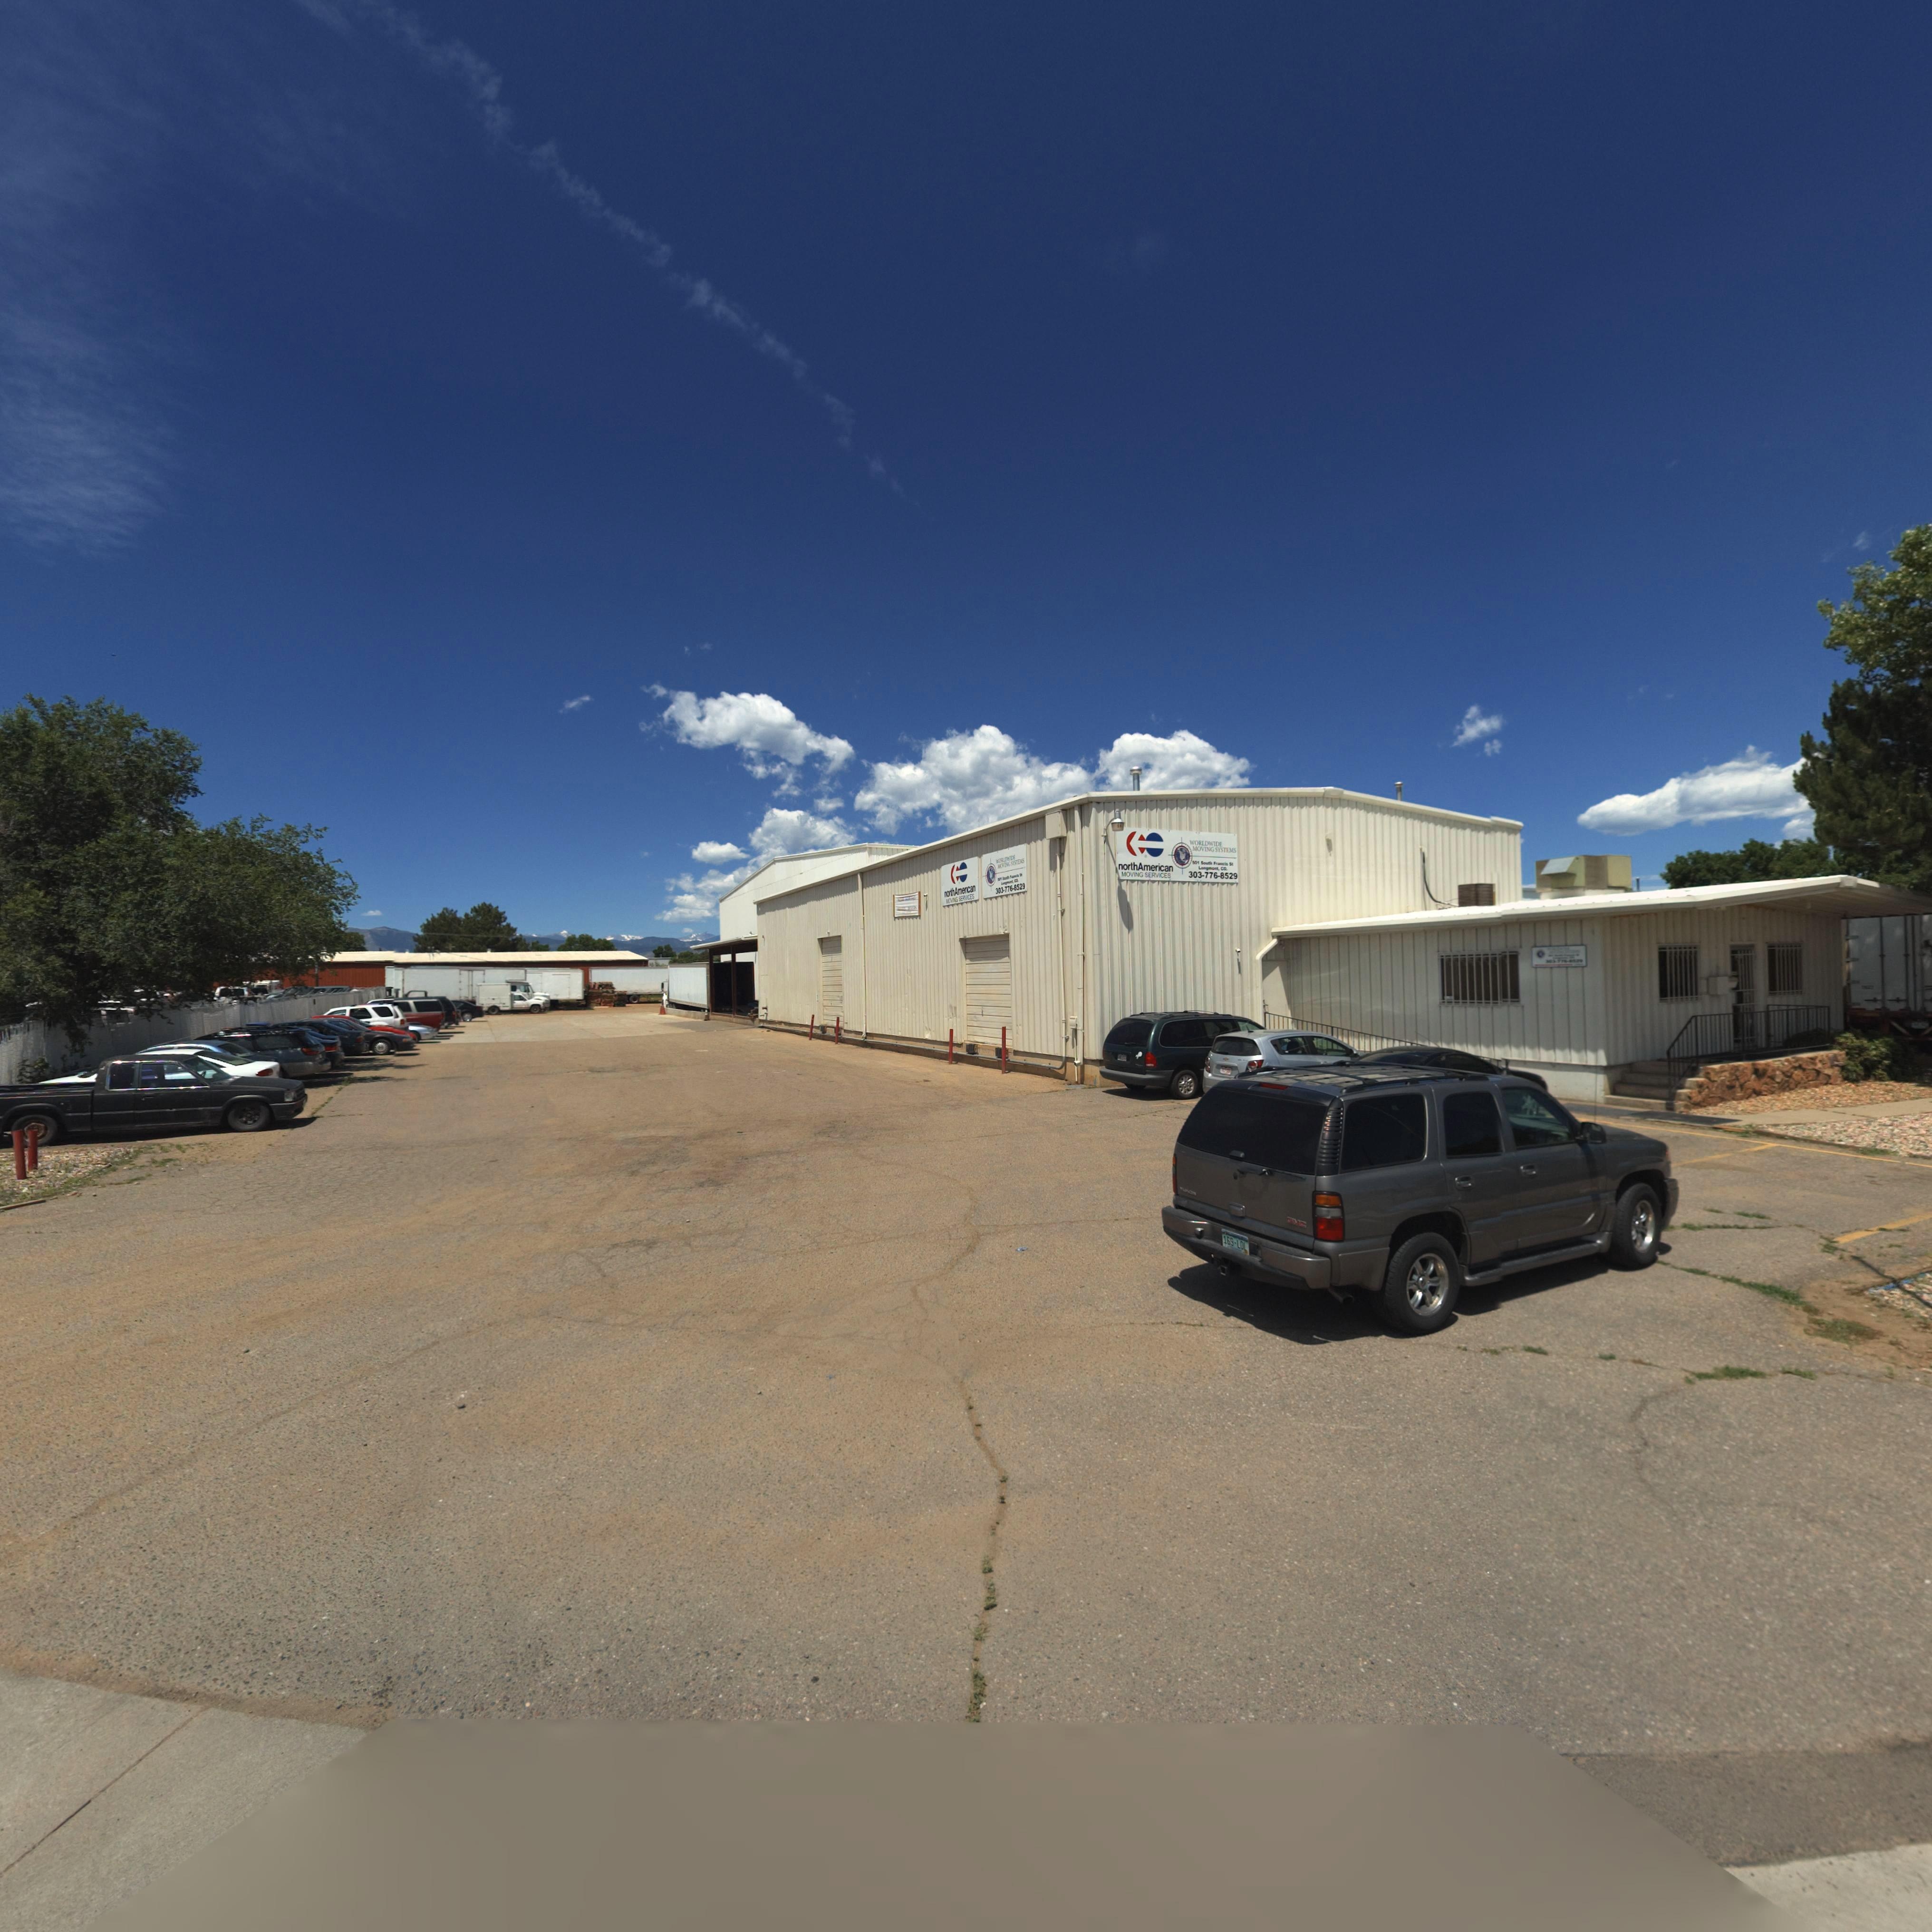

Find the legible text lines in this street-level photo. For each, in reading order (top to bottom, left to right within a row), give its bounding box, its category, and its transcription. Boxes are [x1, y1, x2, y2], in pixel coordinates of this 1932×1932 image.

[1188, 839, 1223, 847] BusinessName: WORLDWIDE
[1191, 845, 1236, 853] BusinessName: MOVING SYSTEMS
[995, 854, 1015, 864] BusinessName: WOR****DE
[997, 858, 1025, 869] BusinessName: MOVING SYSTEMS
[1118, 861, 1173, 872] BusinessName: northAmerican
[1191, 860, 1199, 865] StreetNumber: 501
[1200, 860, 1234, 866] BusinessName: South Fran** St
[1121, 871, 1171, 878] BusinessName: MOVING SERVICES
[944, 884, 976, 898] BusinessName: northAmerican
[946, 893, 975, 904] BusinessName: MOV*NG SERV*CES